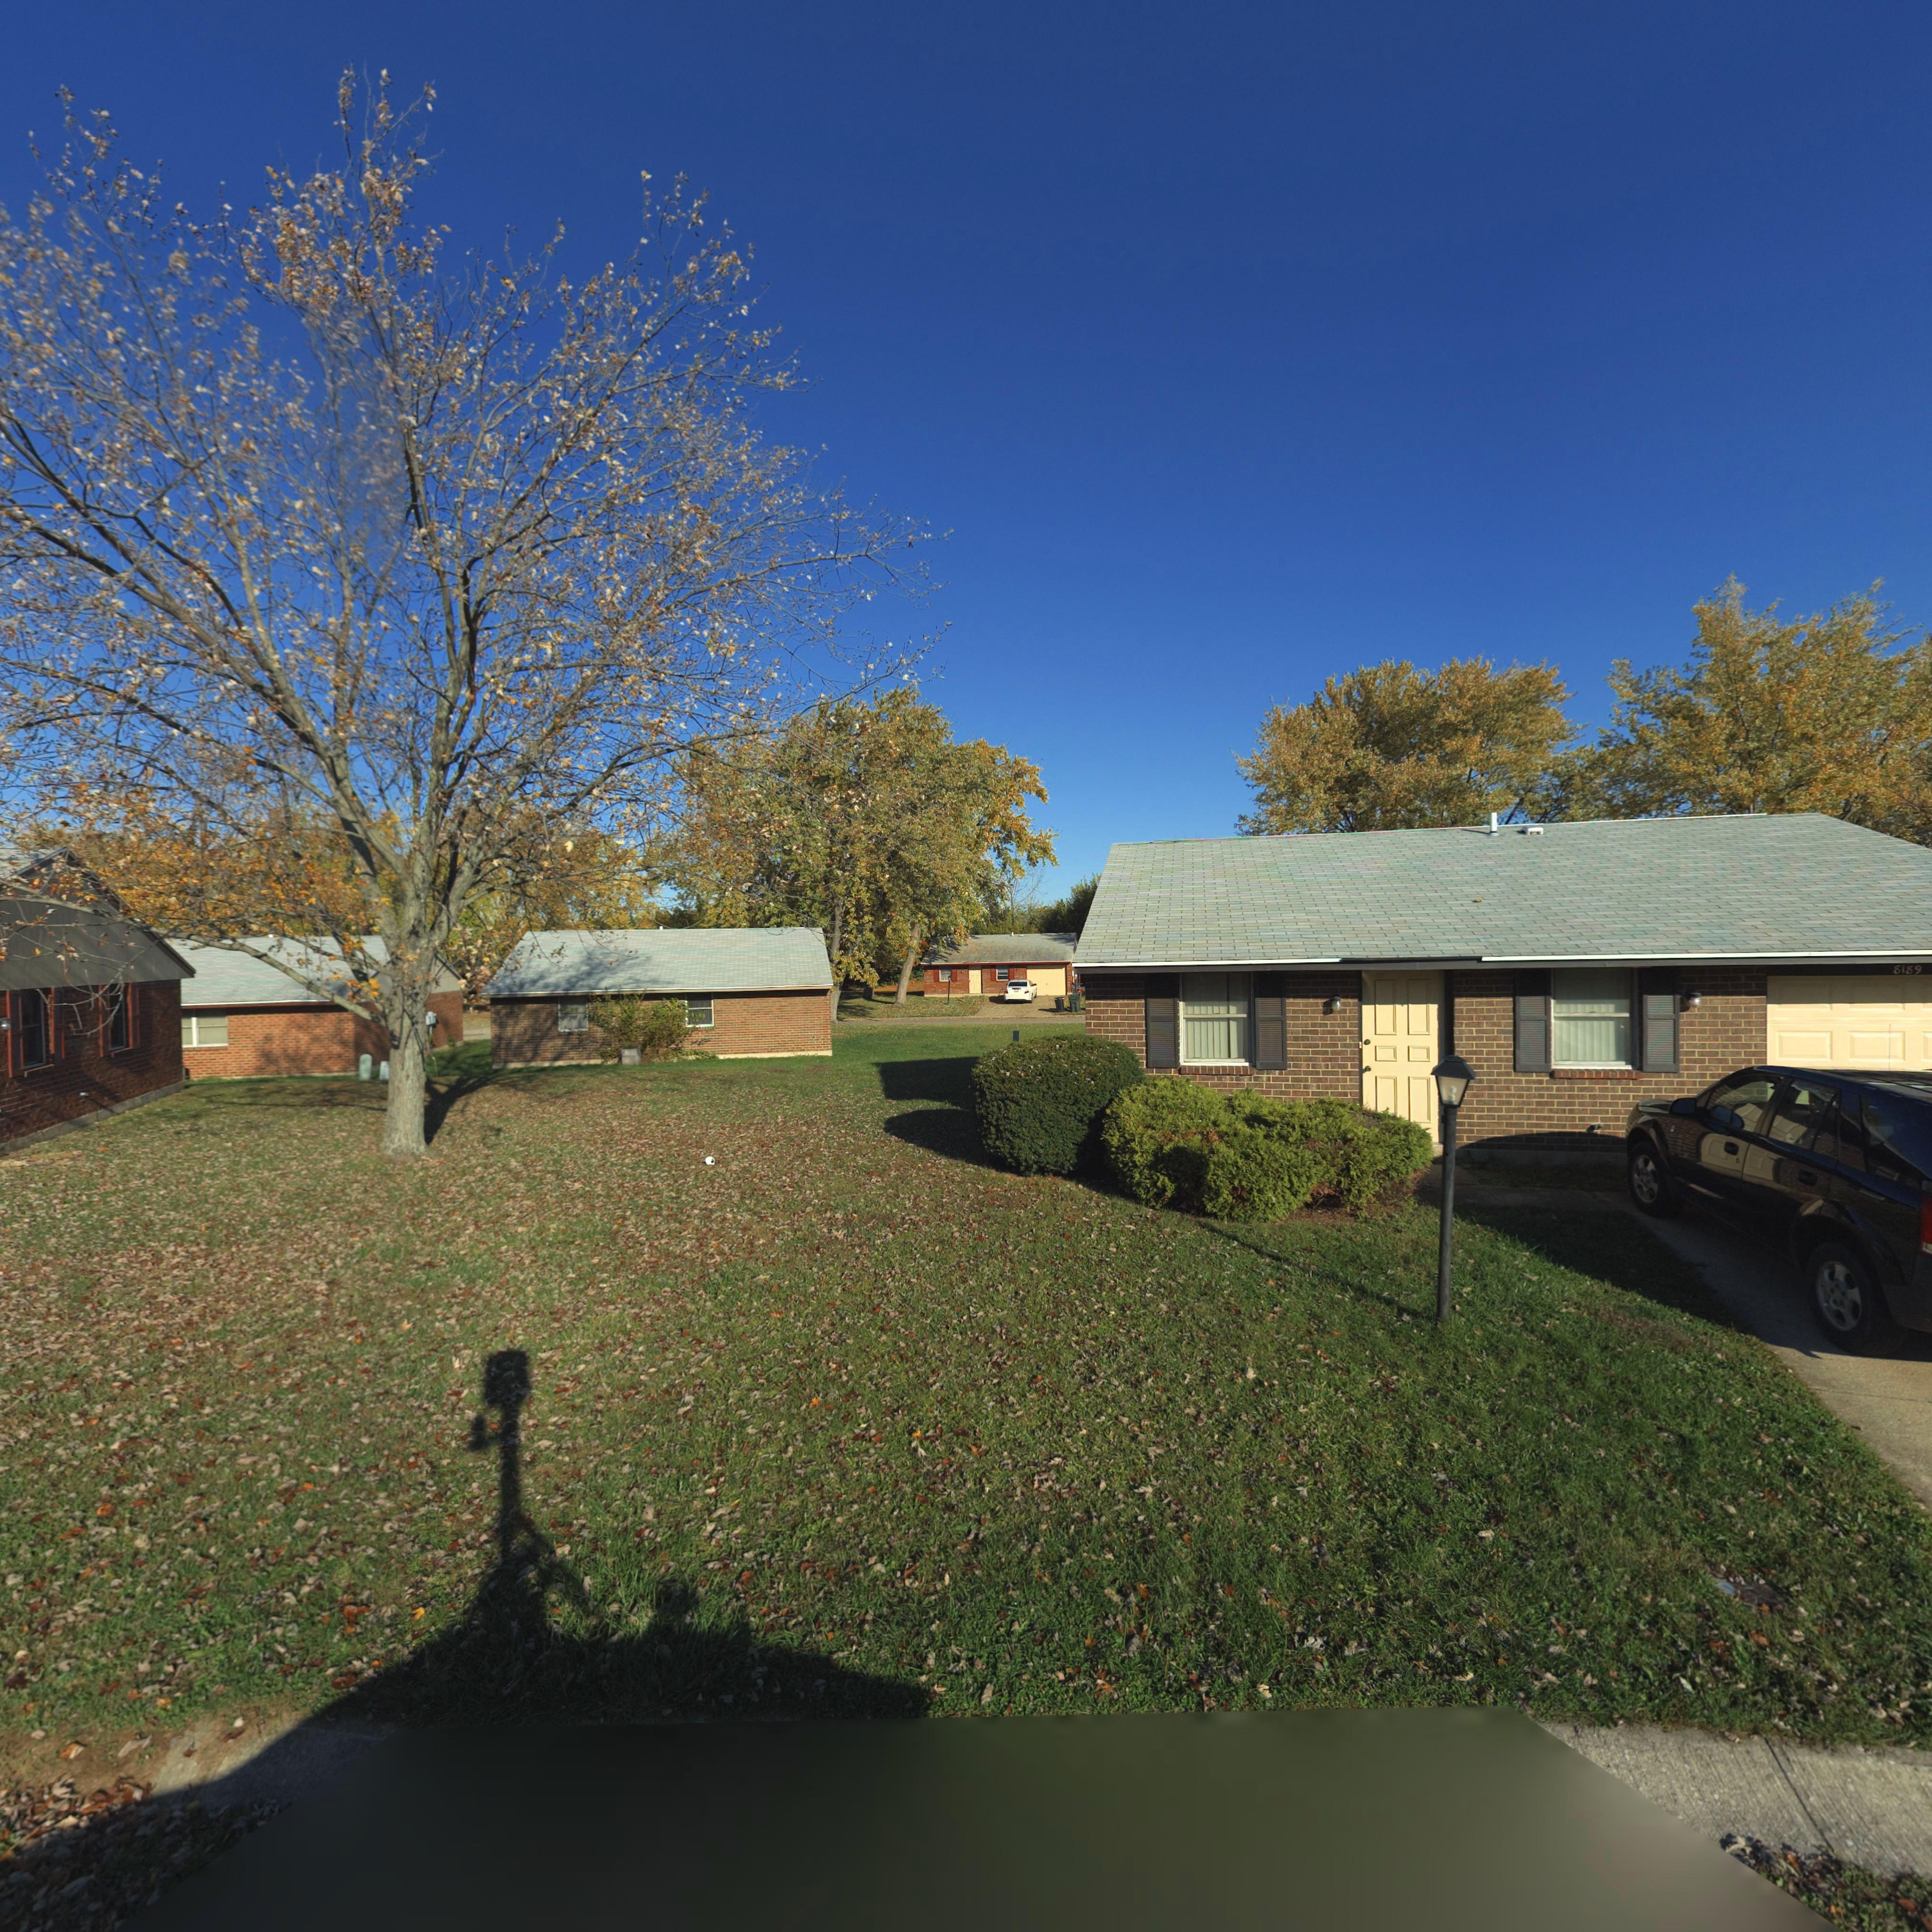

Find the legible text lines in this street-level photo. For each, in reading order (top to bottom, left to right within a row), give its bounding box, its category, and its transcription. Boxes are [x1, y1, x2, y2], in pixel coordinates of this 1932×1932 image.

[1893, 965, 1922, 975] StreetNumber: 8189